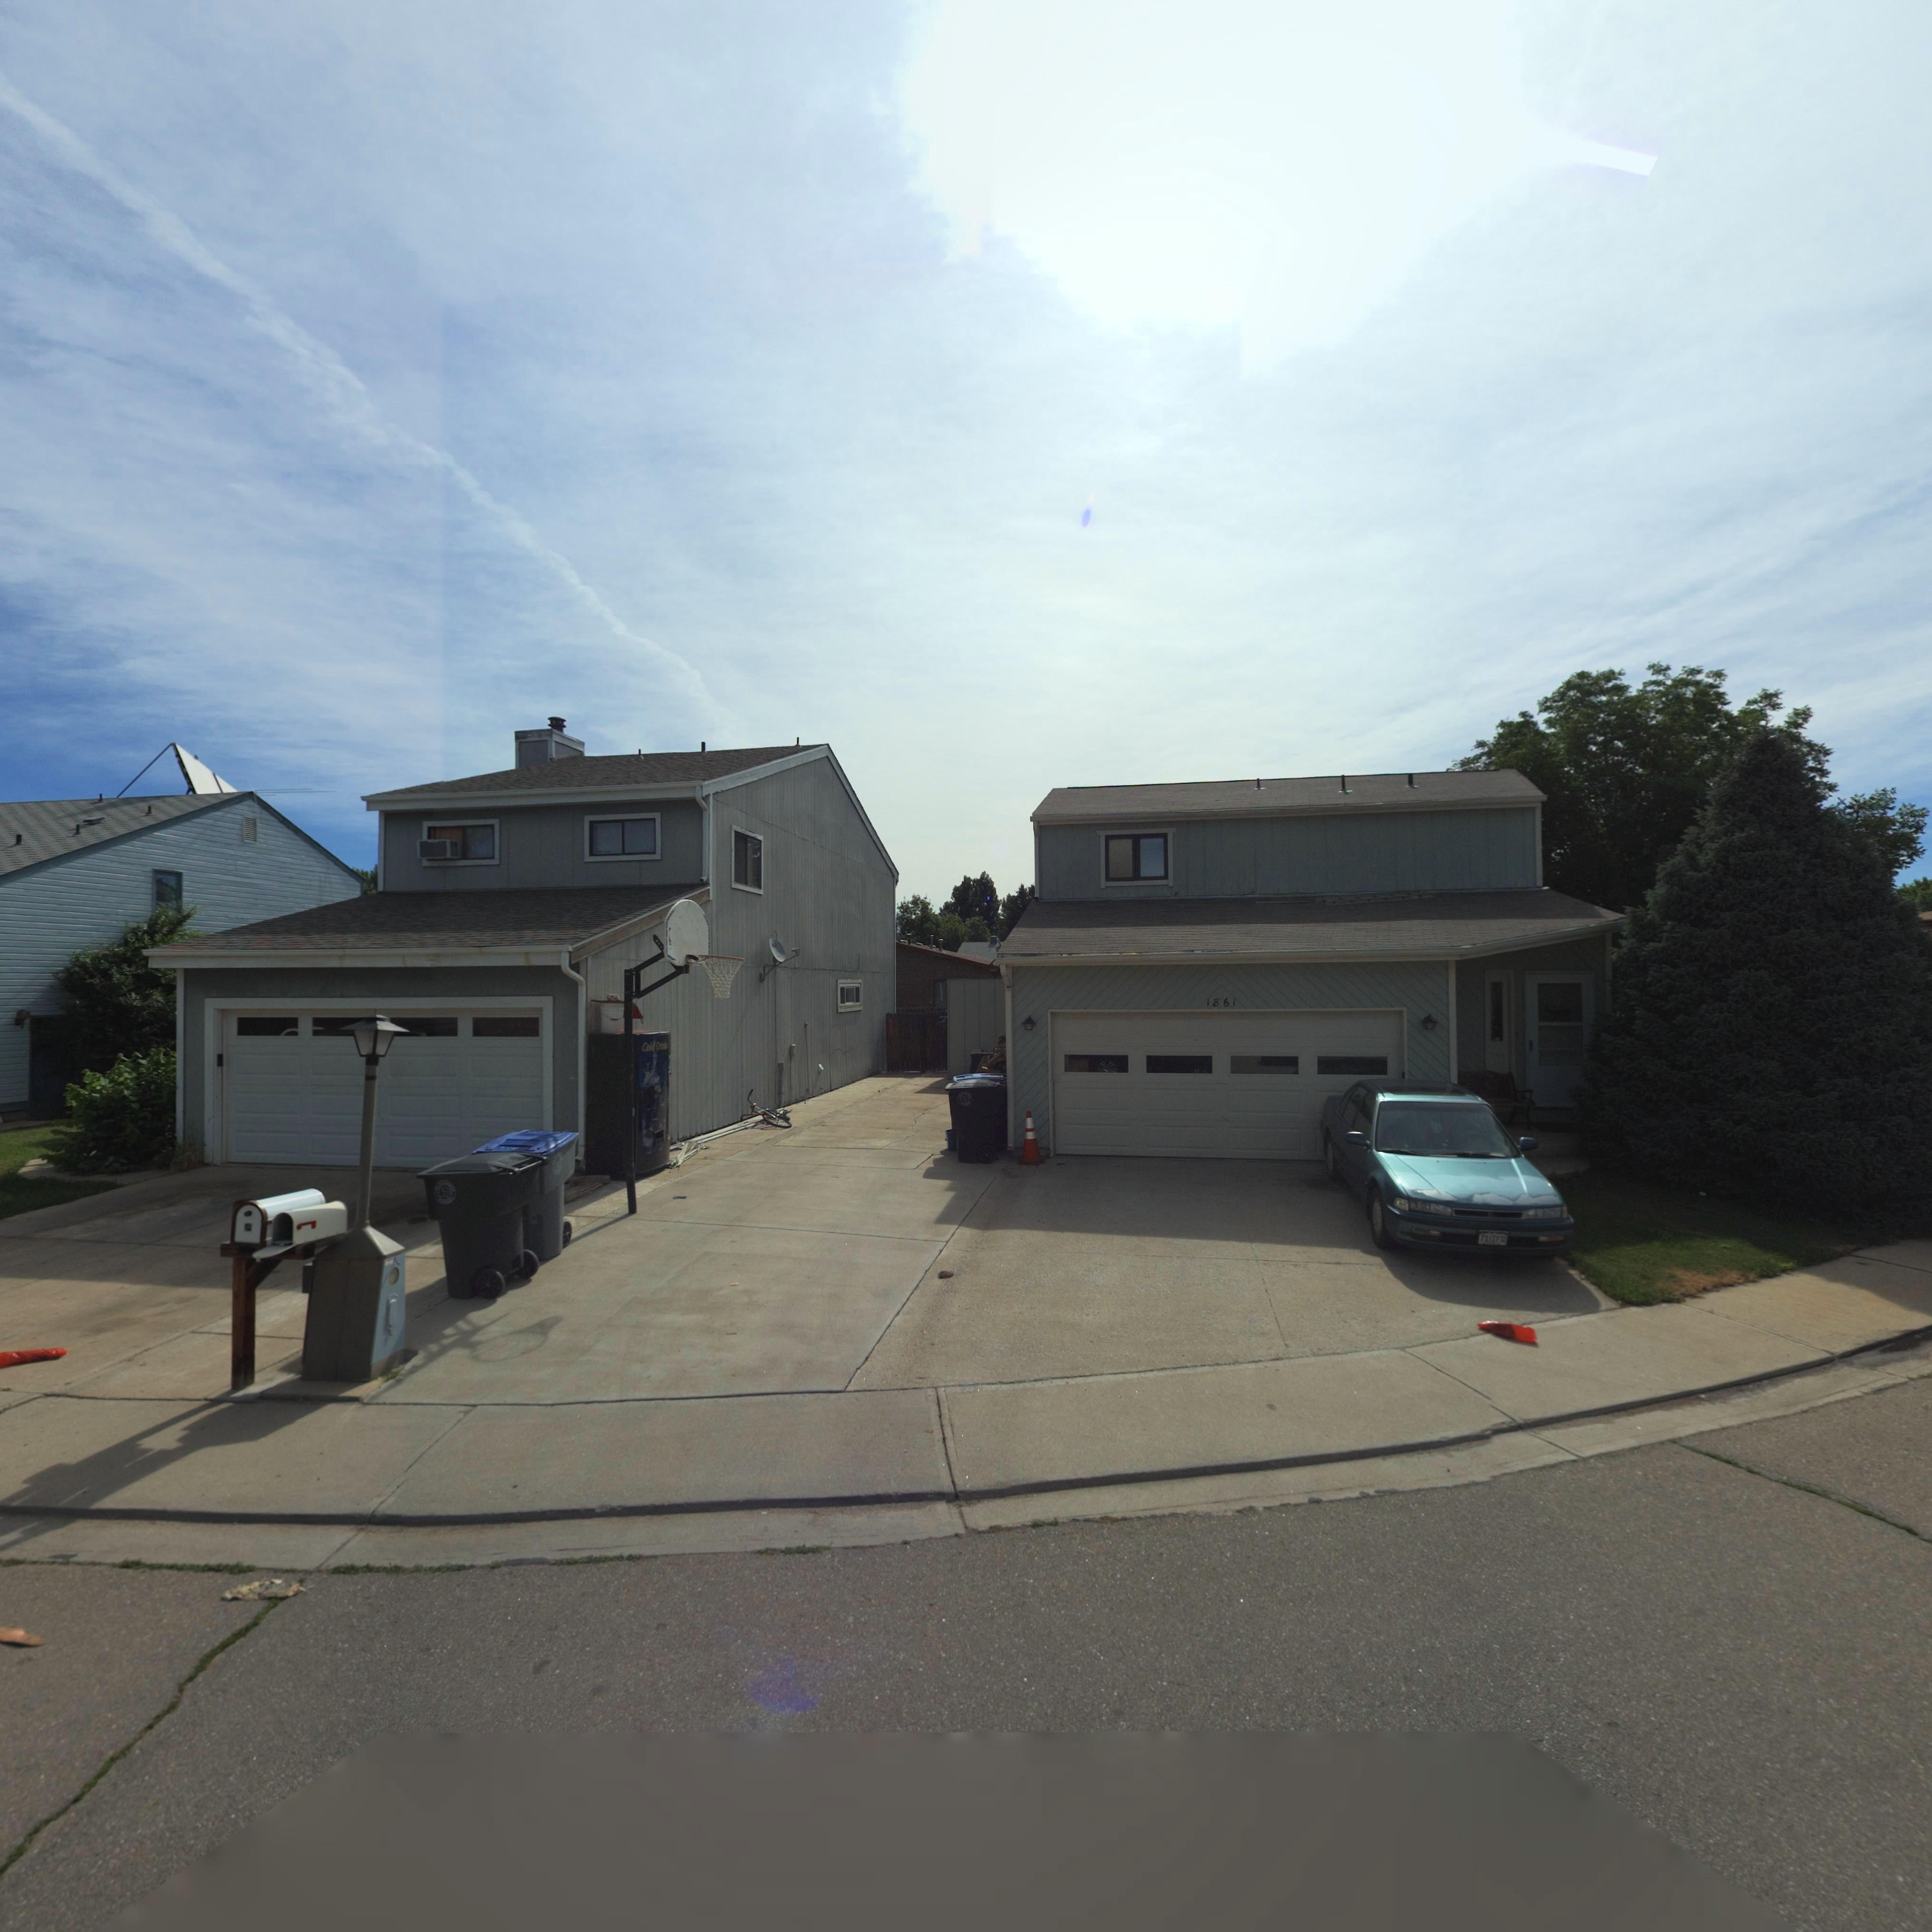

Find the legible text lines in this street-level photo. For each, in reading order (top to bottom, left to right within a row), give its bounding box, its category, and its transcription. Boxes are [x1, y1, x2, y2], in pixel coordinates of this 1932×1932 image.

[1207, 996, 1236, 1006] StreetNumber: 1861